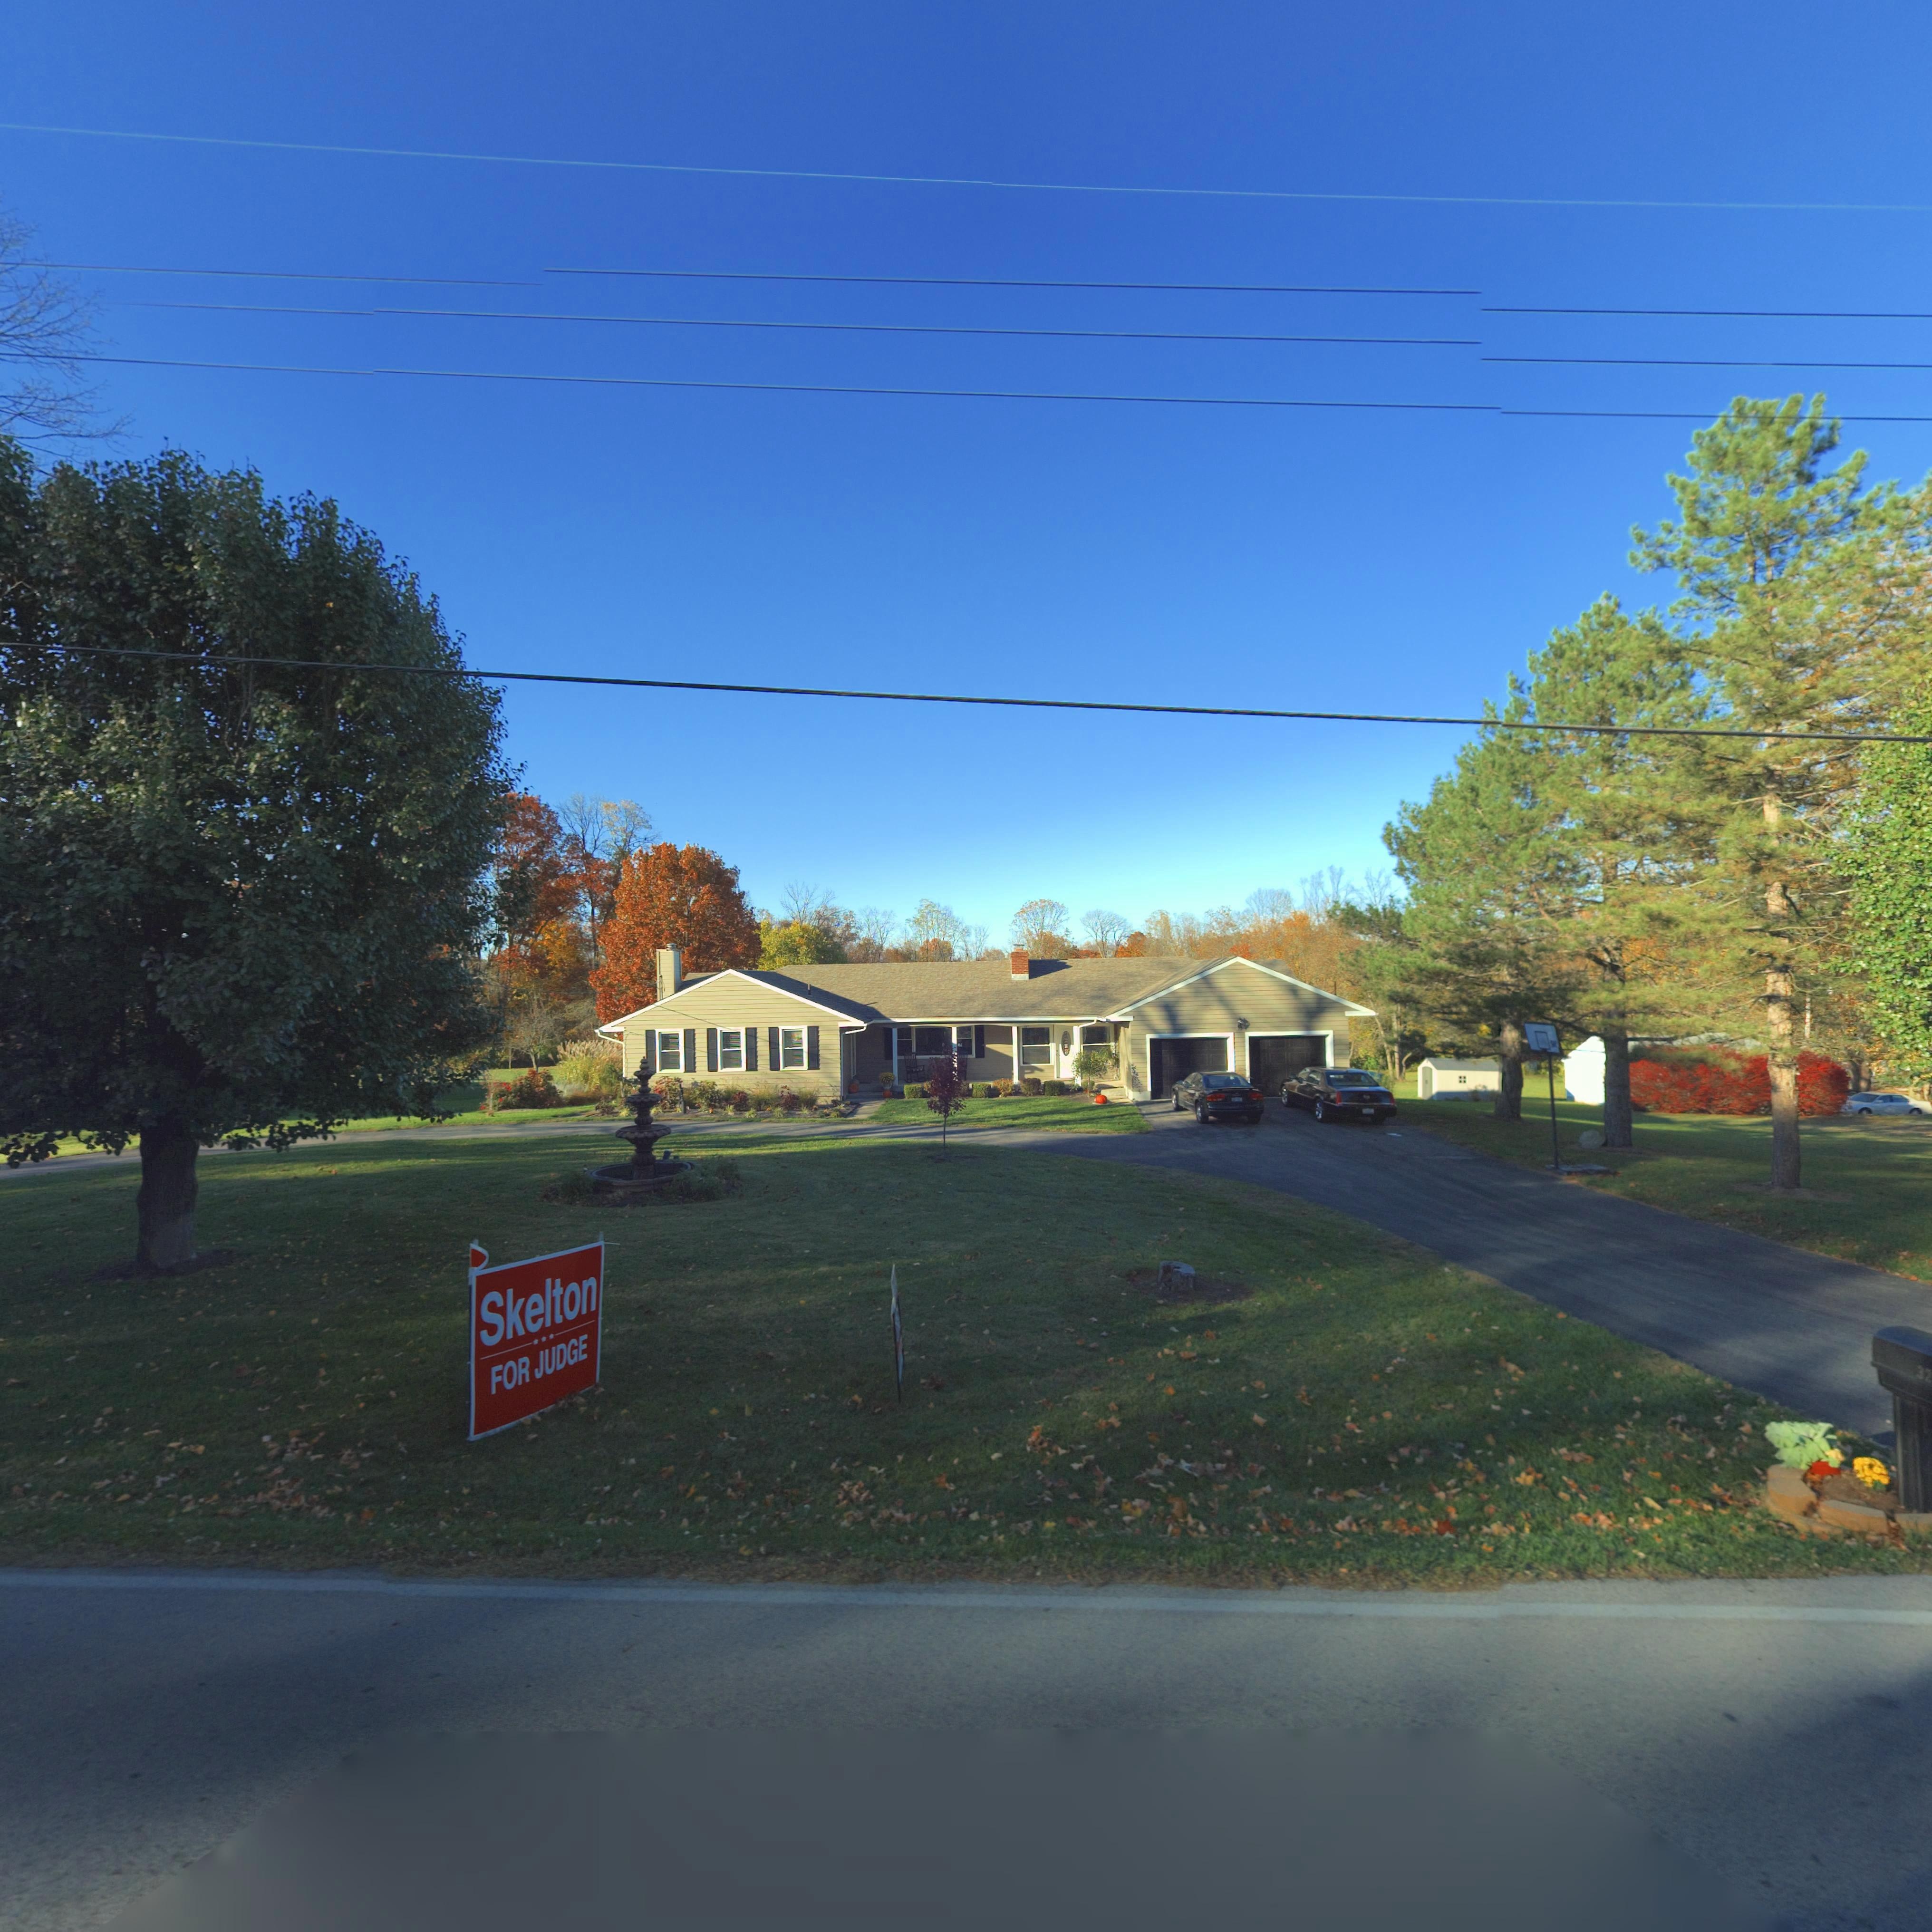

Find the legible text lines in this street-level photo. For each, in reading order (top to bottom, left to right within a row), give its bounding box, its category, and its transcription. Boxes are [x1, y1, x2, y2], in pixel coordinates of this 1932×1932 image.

[1914, 1363, 1932, 1384] StreetNumber: 32